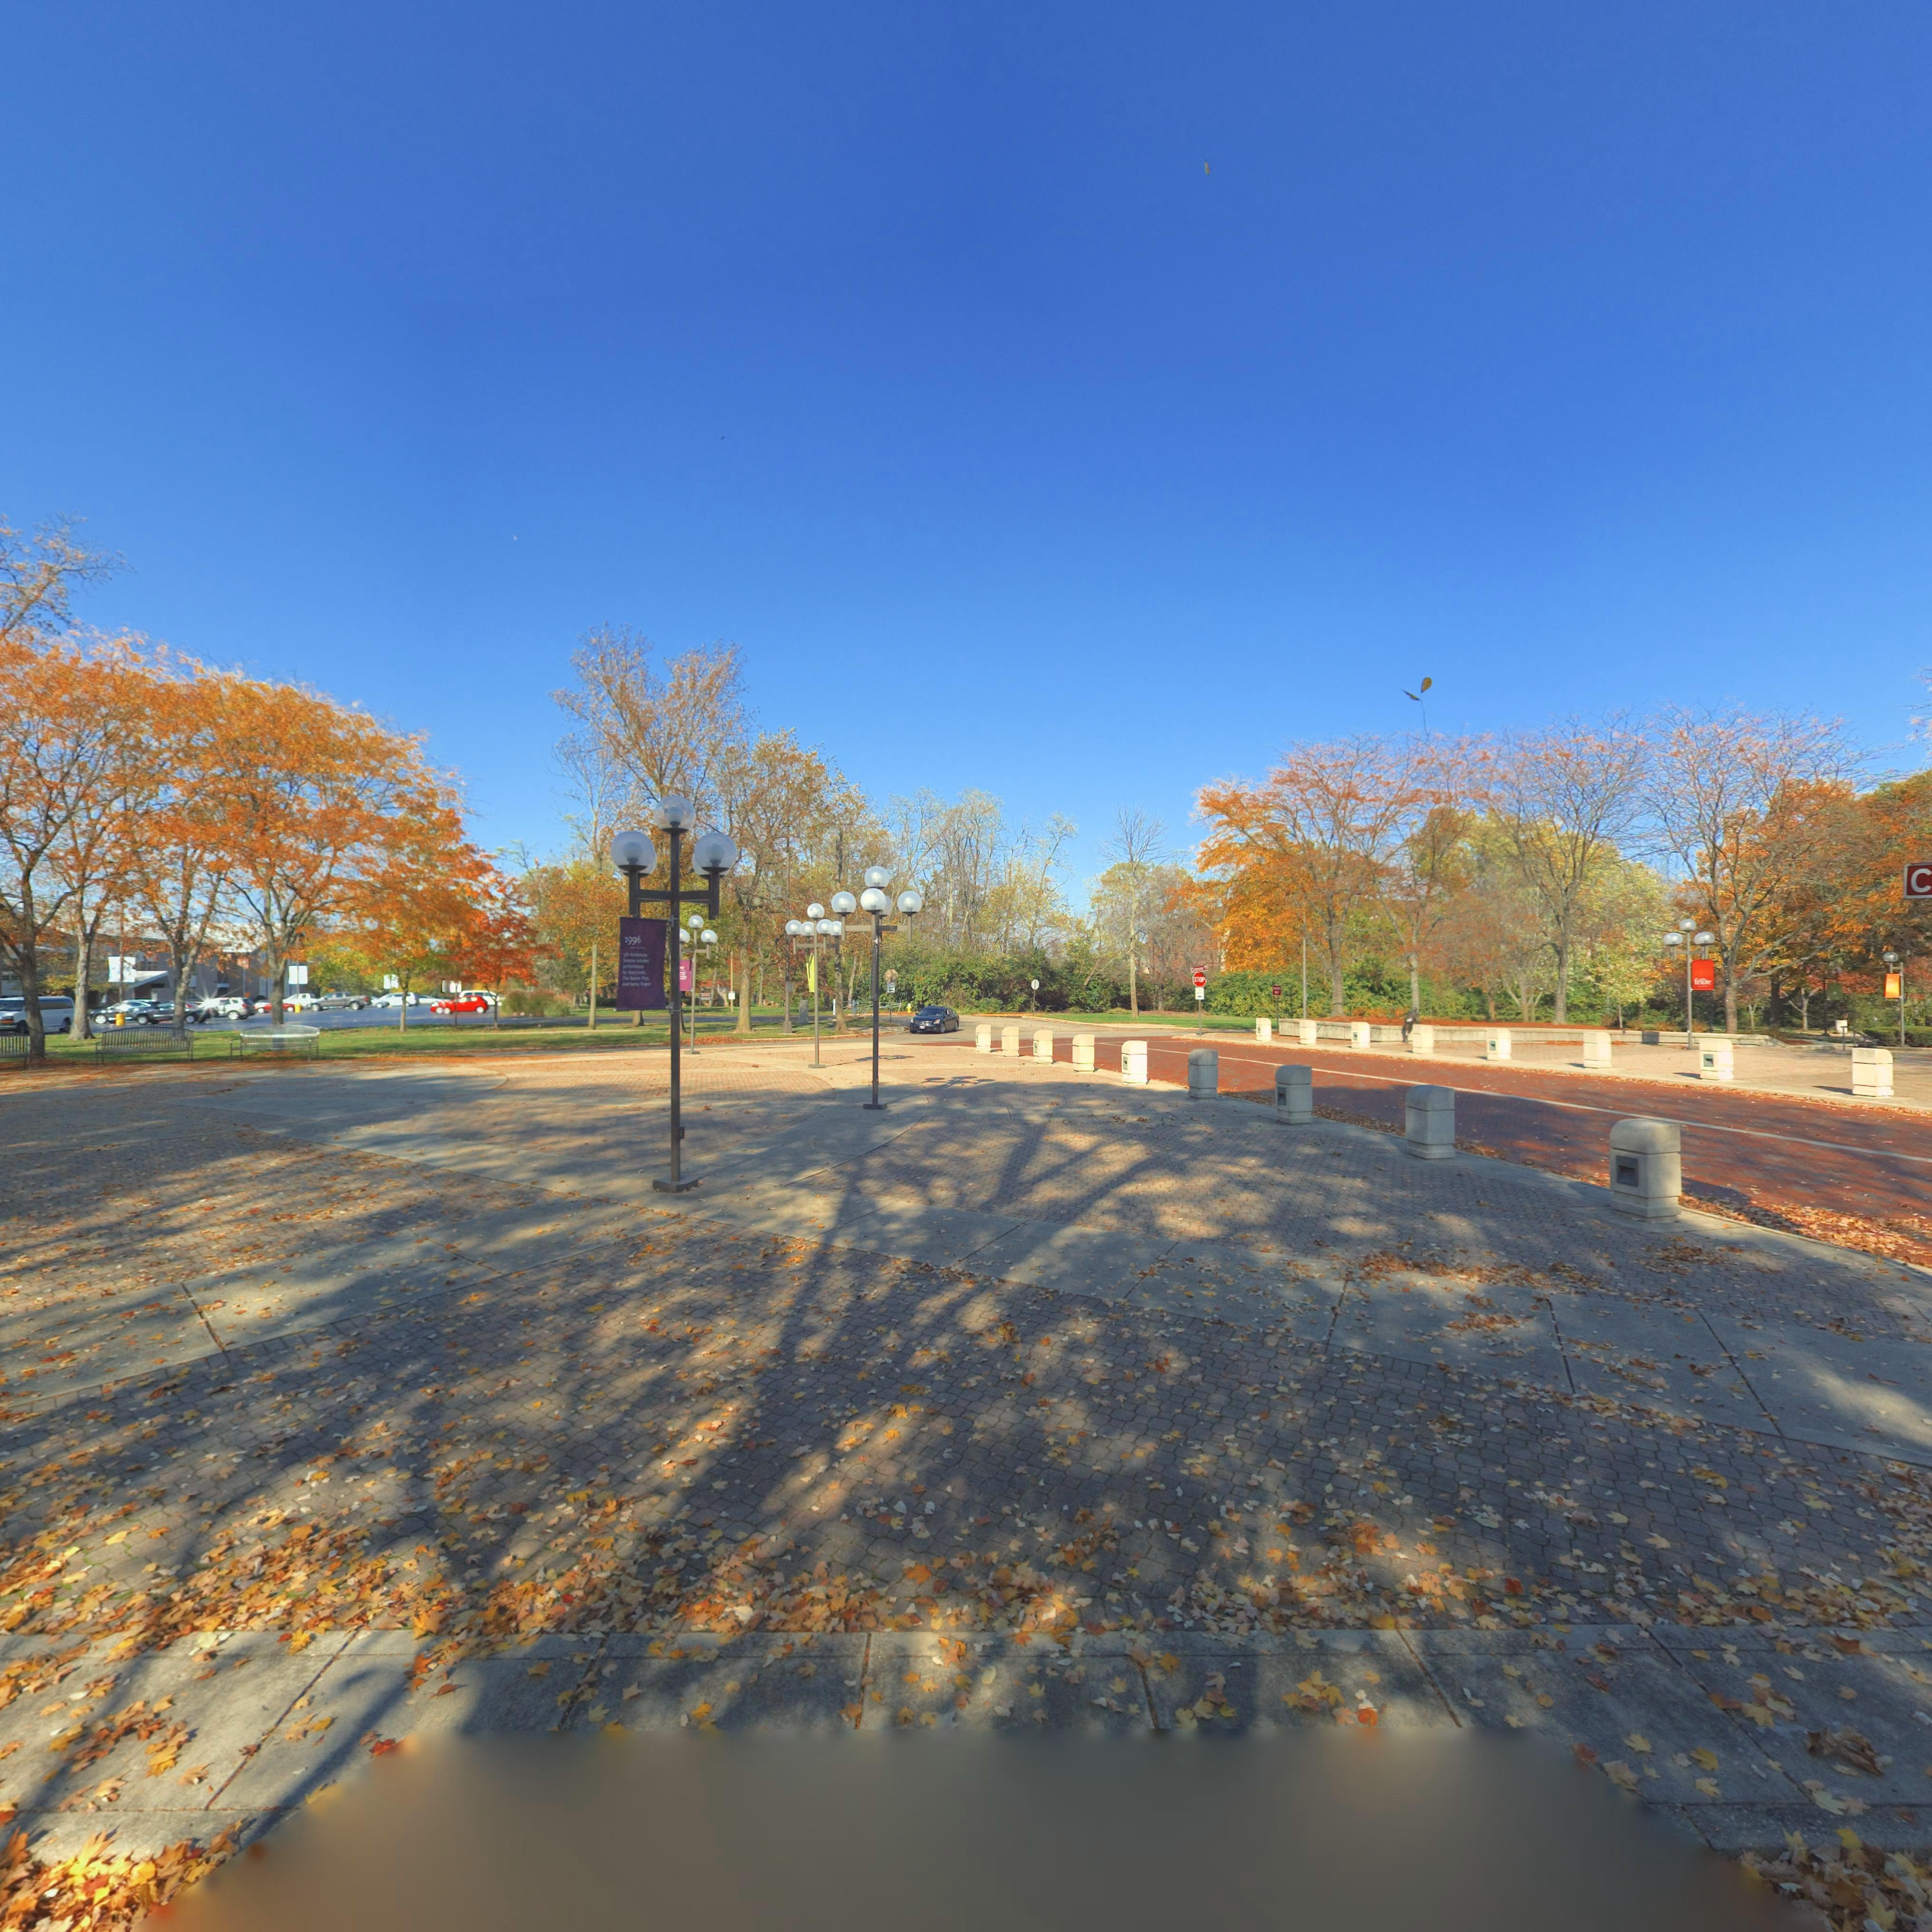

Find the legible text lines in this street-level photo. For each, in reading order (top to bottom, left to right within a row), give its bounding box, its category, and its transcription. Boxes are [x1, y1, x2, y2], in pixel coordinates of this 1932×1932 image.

[1910, 867, 1932, 894] StreetName: C
[624, 935, 642, 947] None: 1996
[1194, 976, 1205, 983] None: STOP
[1273, 986, 1281, 990] None: WRONG
[1274, 990, 1280, 994] None: WAY